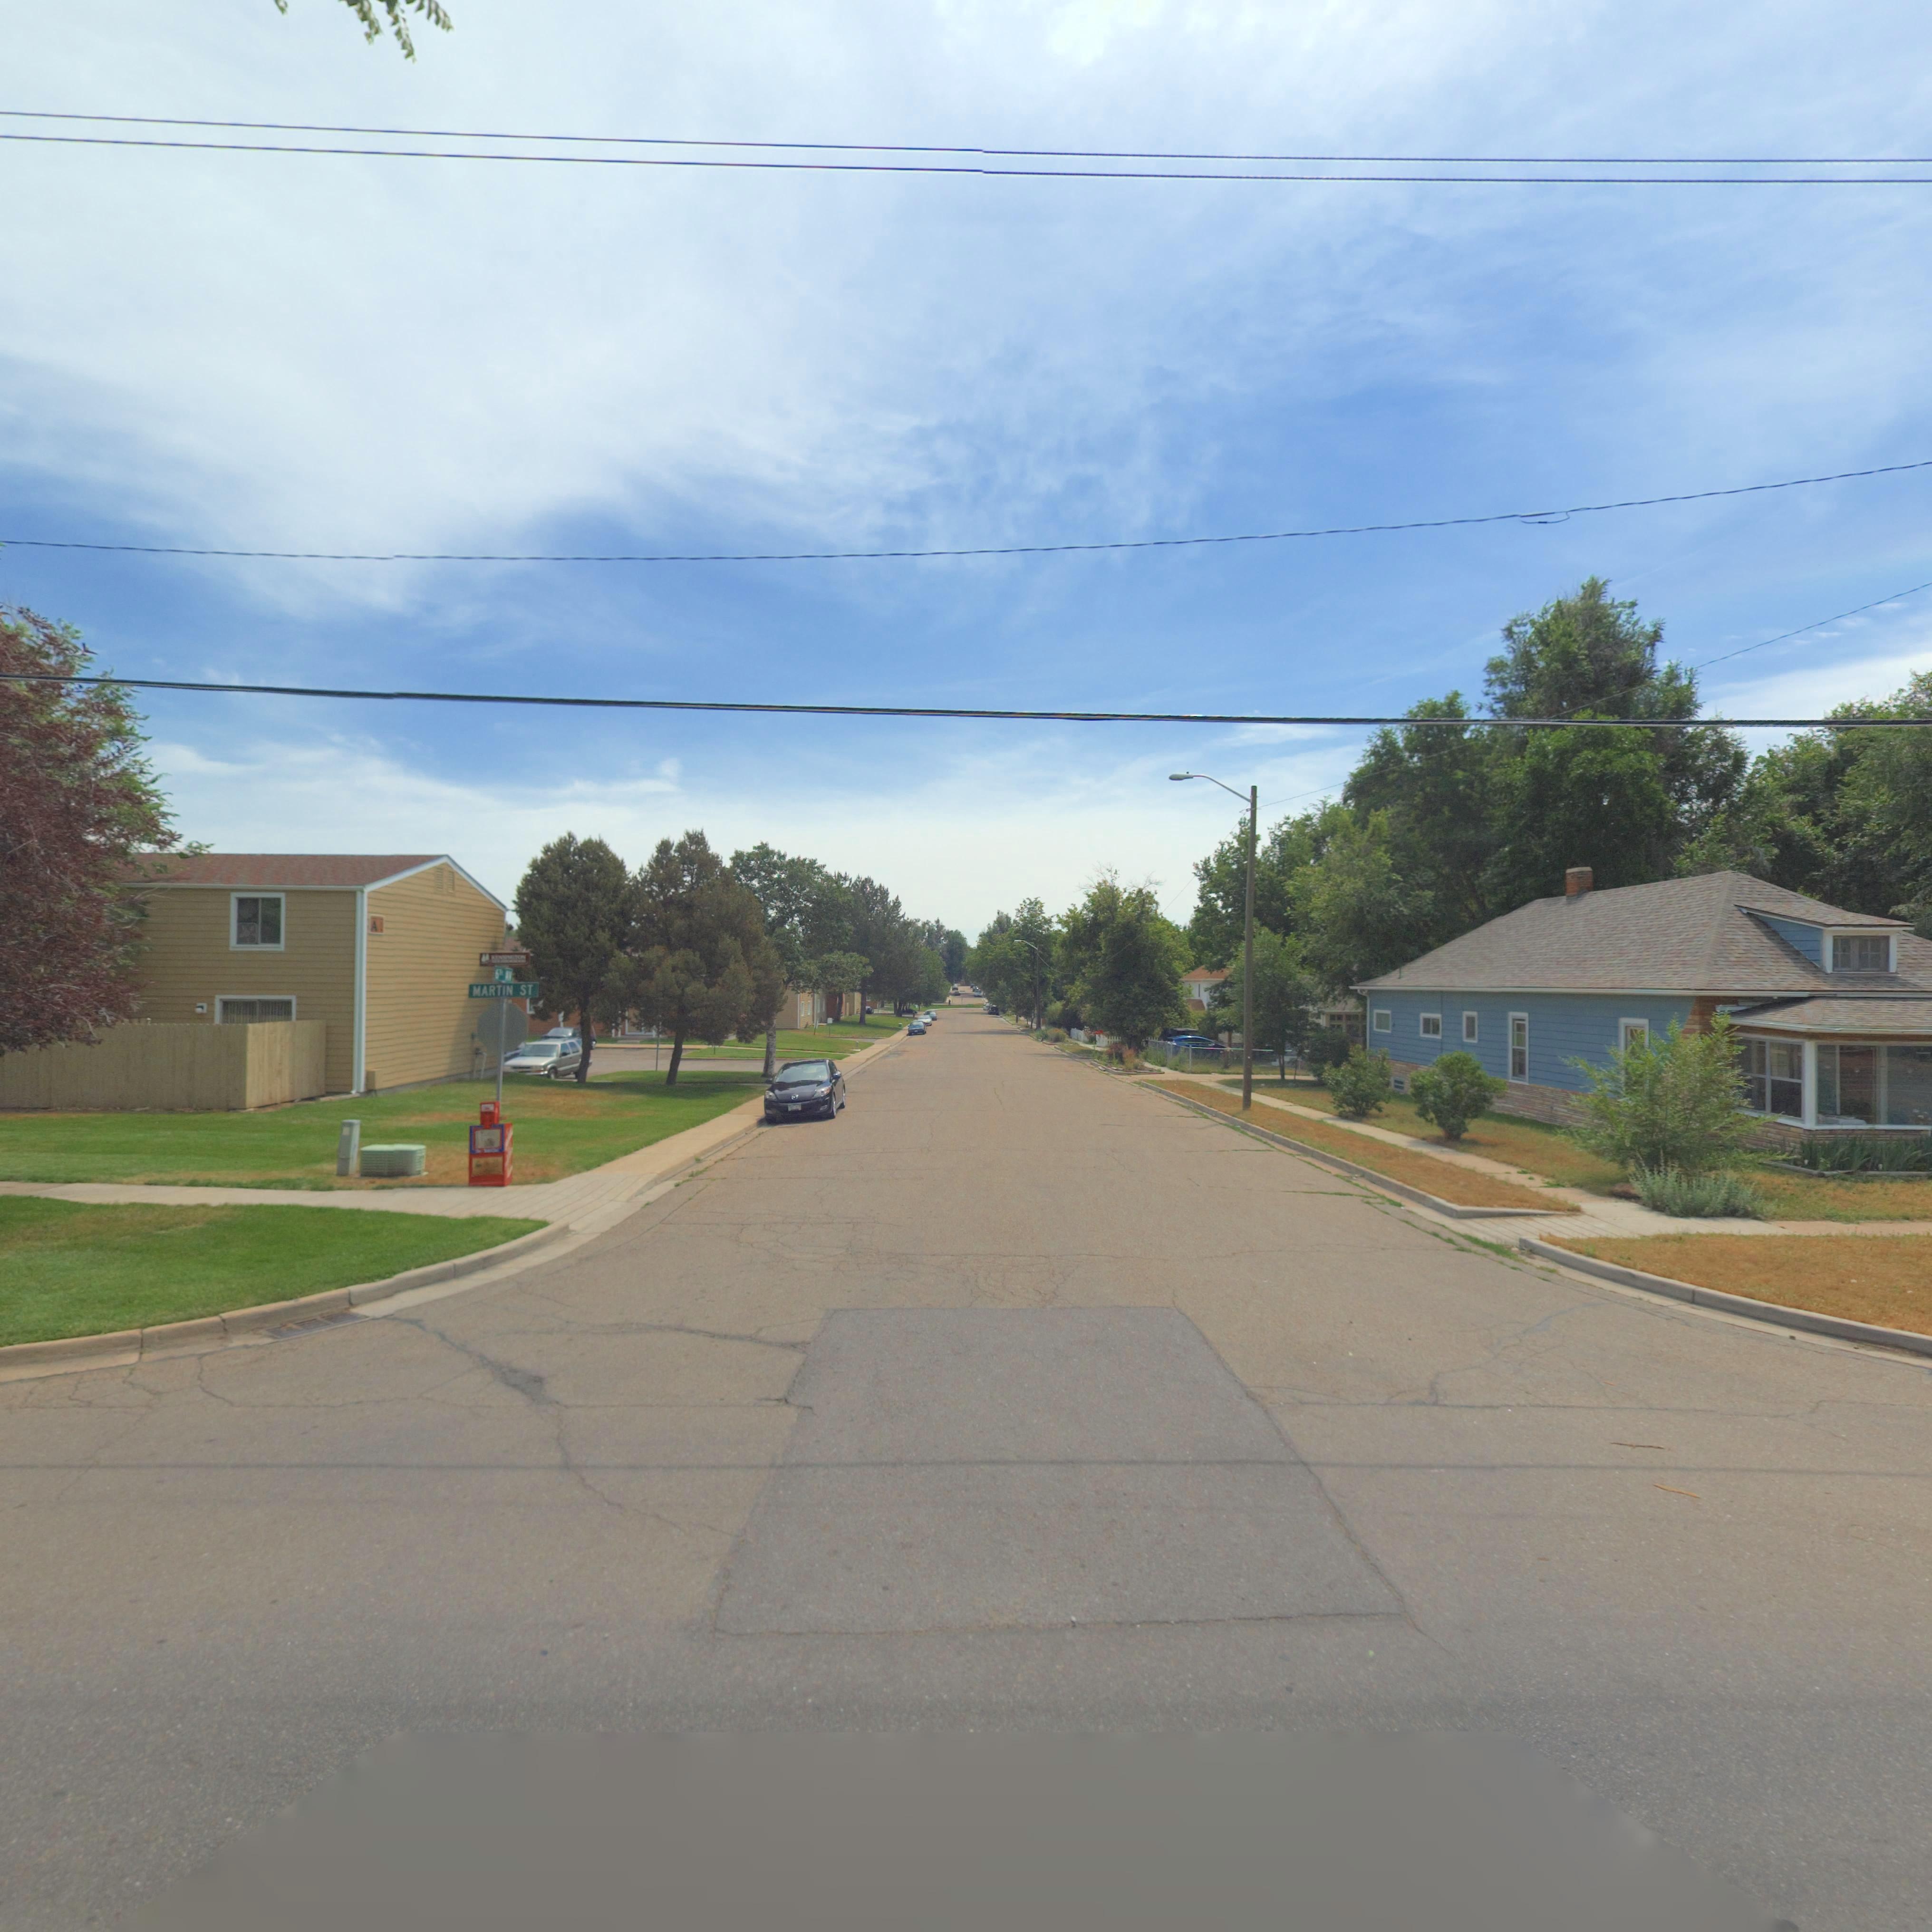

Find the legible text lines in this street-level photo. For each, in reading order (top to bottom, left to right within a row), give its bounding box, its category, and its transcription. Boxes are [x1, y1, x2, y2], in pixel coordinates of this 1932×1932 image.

[494, 968, 512, 981] StreetName: 6** AV
[472, 984, 534, 996] StreetName: MARTIN ST